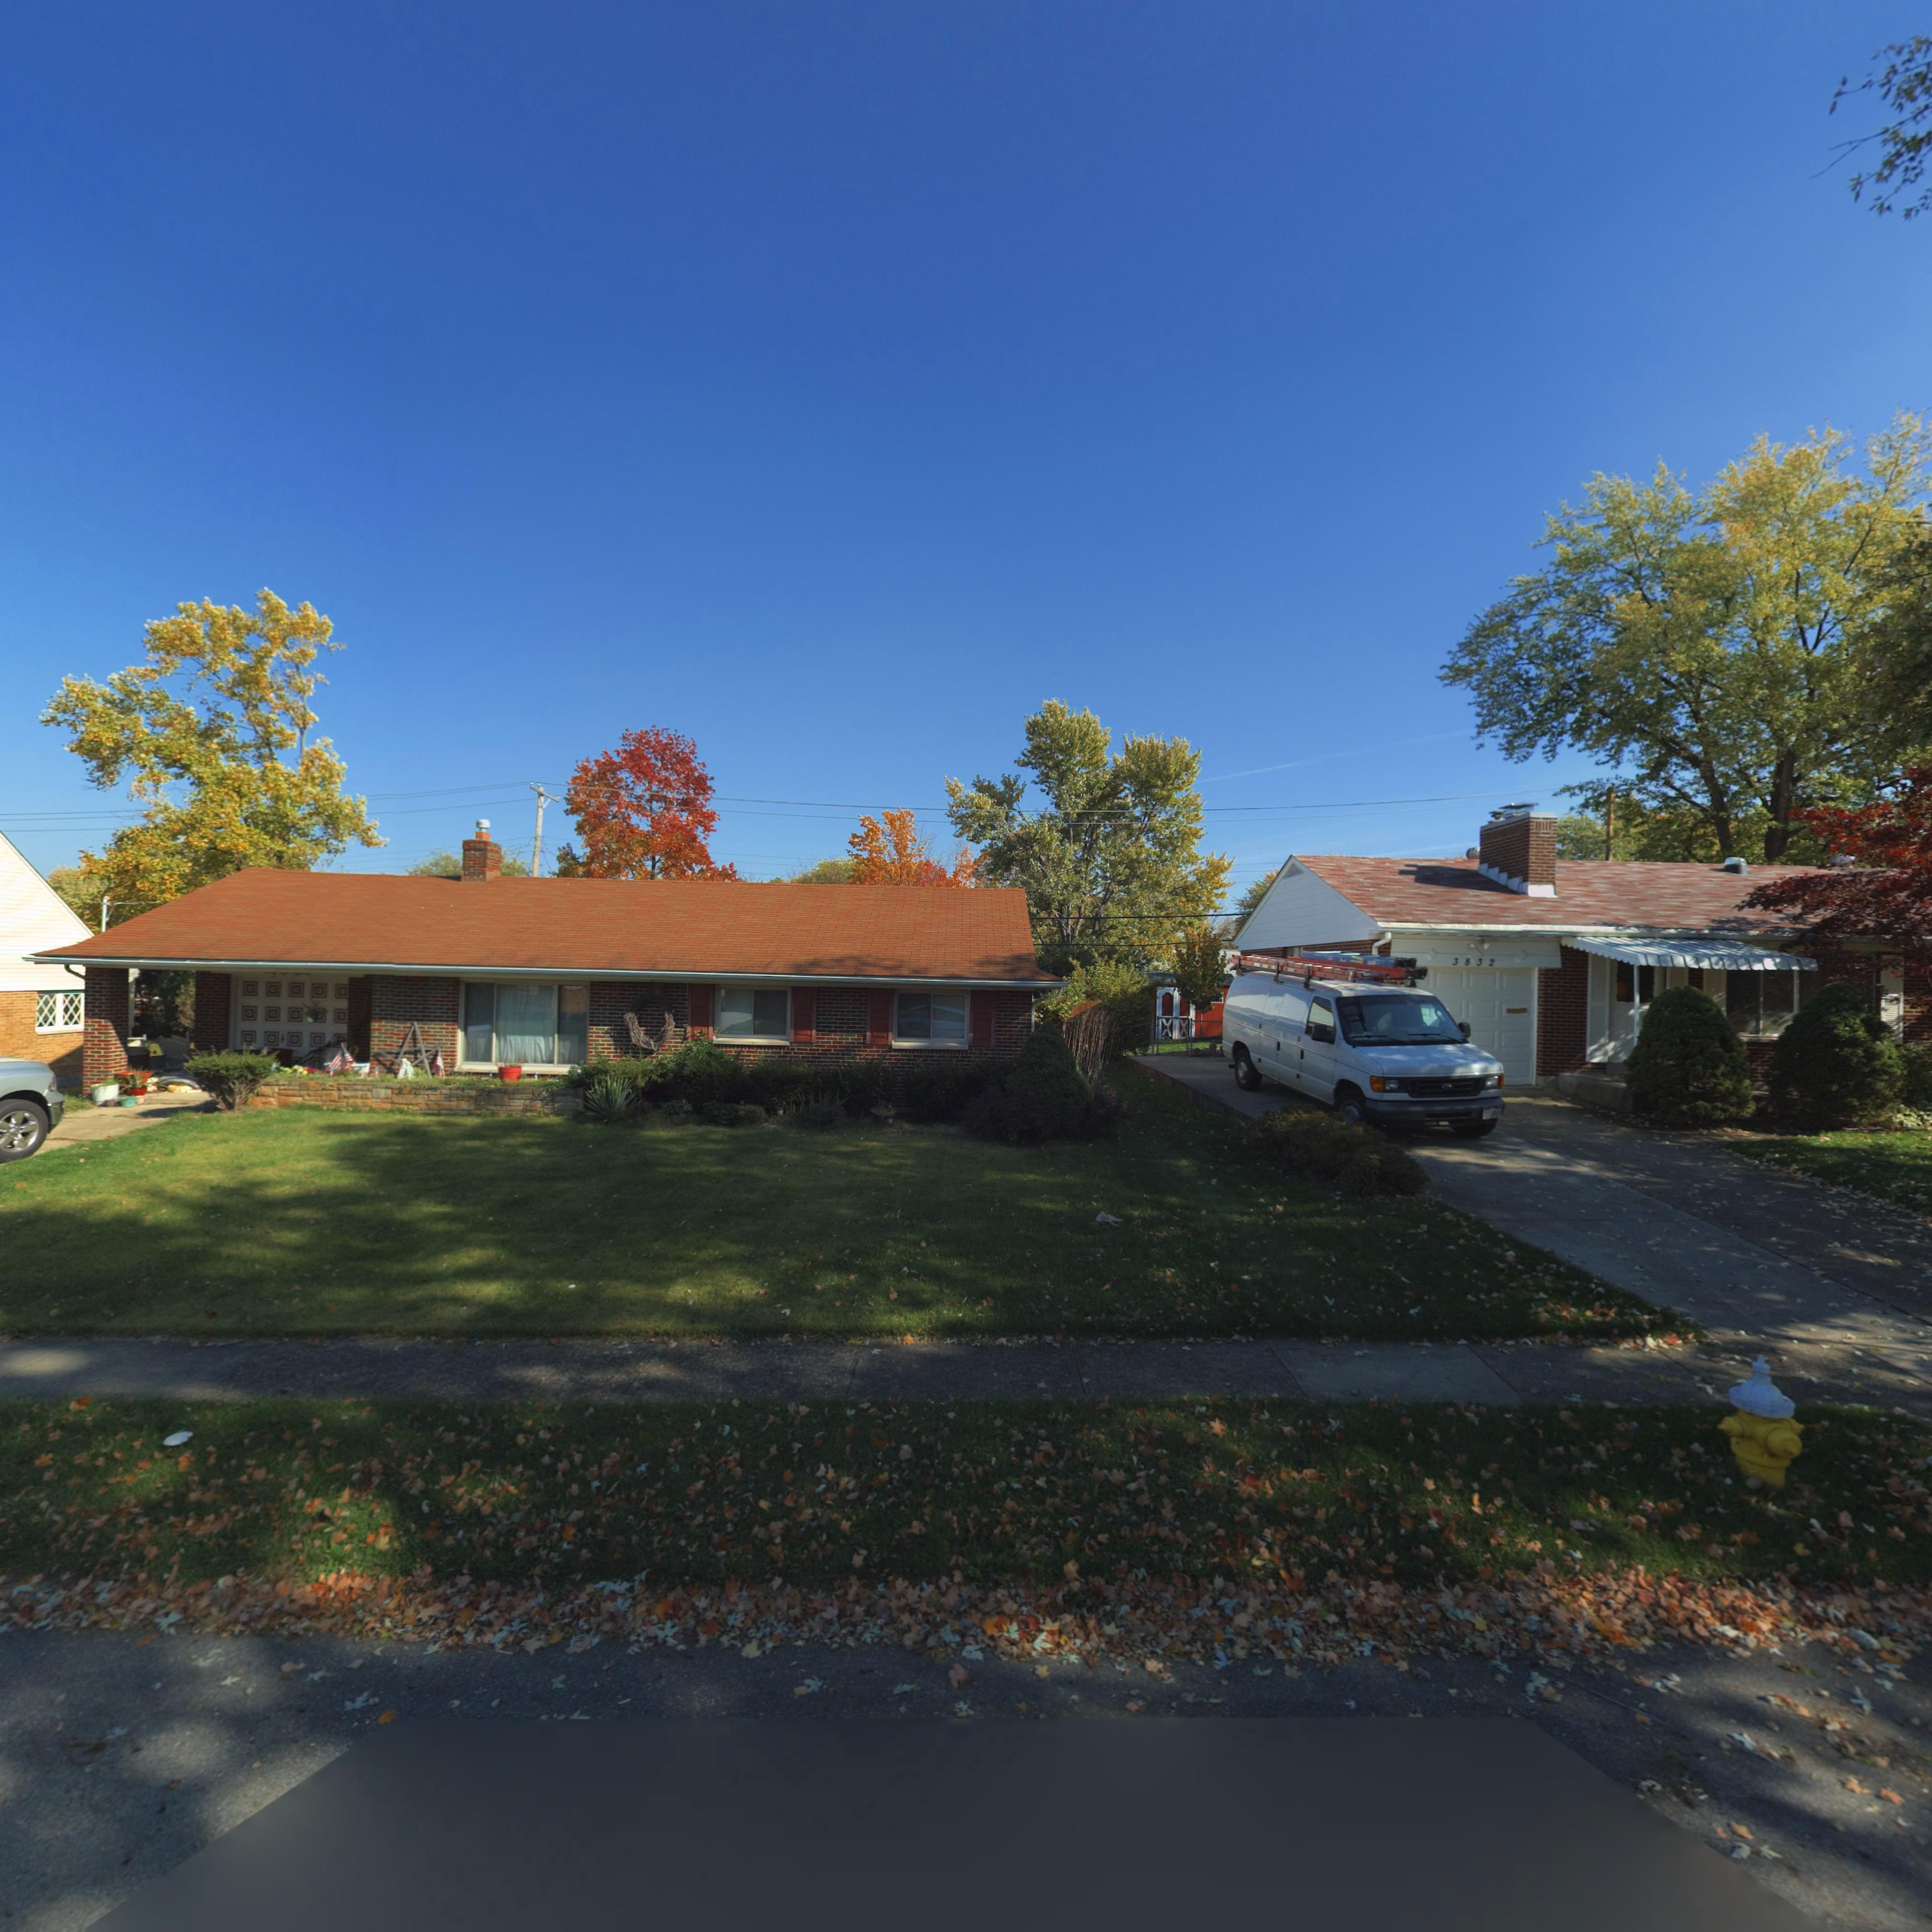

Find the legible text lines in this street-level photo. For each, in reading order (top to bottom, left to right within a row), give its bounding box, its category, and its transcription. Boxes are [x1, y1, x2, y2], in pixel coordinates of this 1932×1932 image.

[1451, 956, 1497, 967] StreetNumber: 38*32